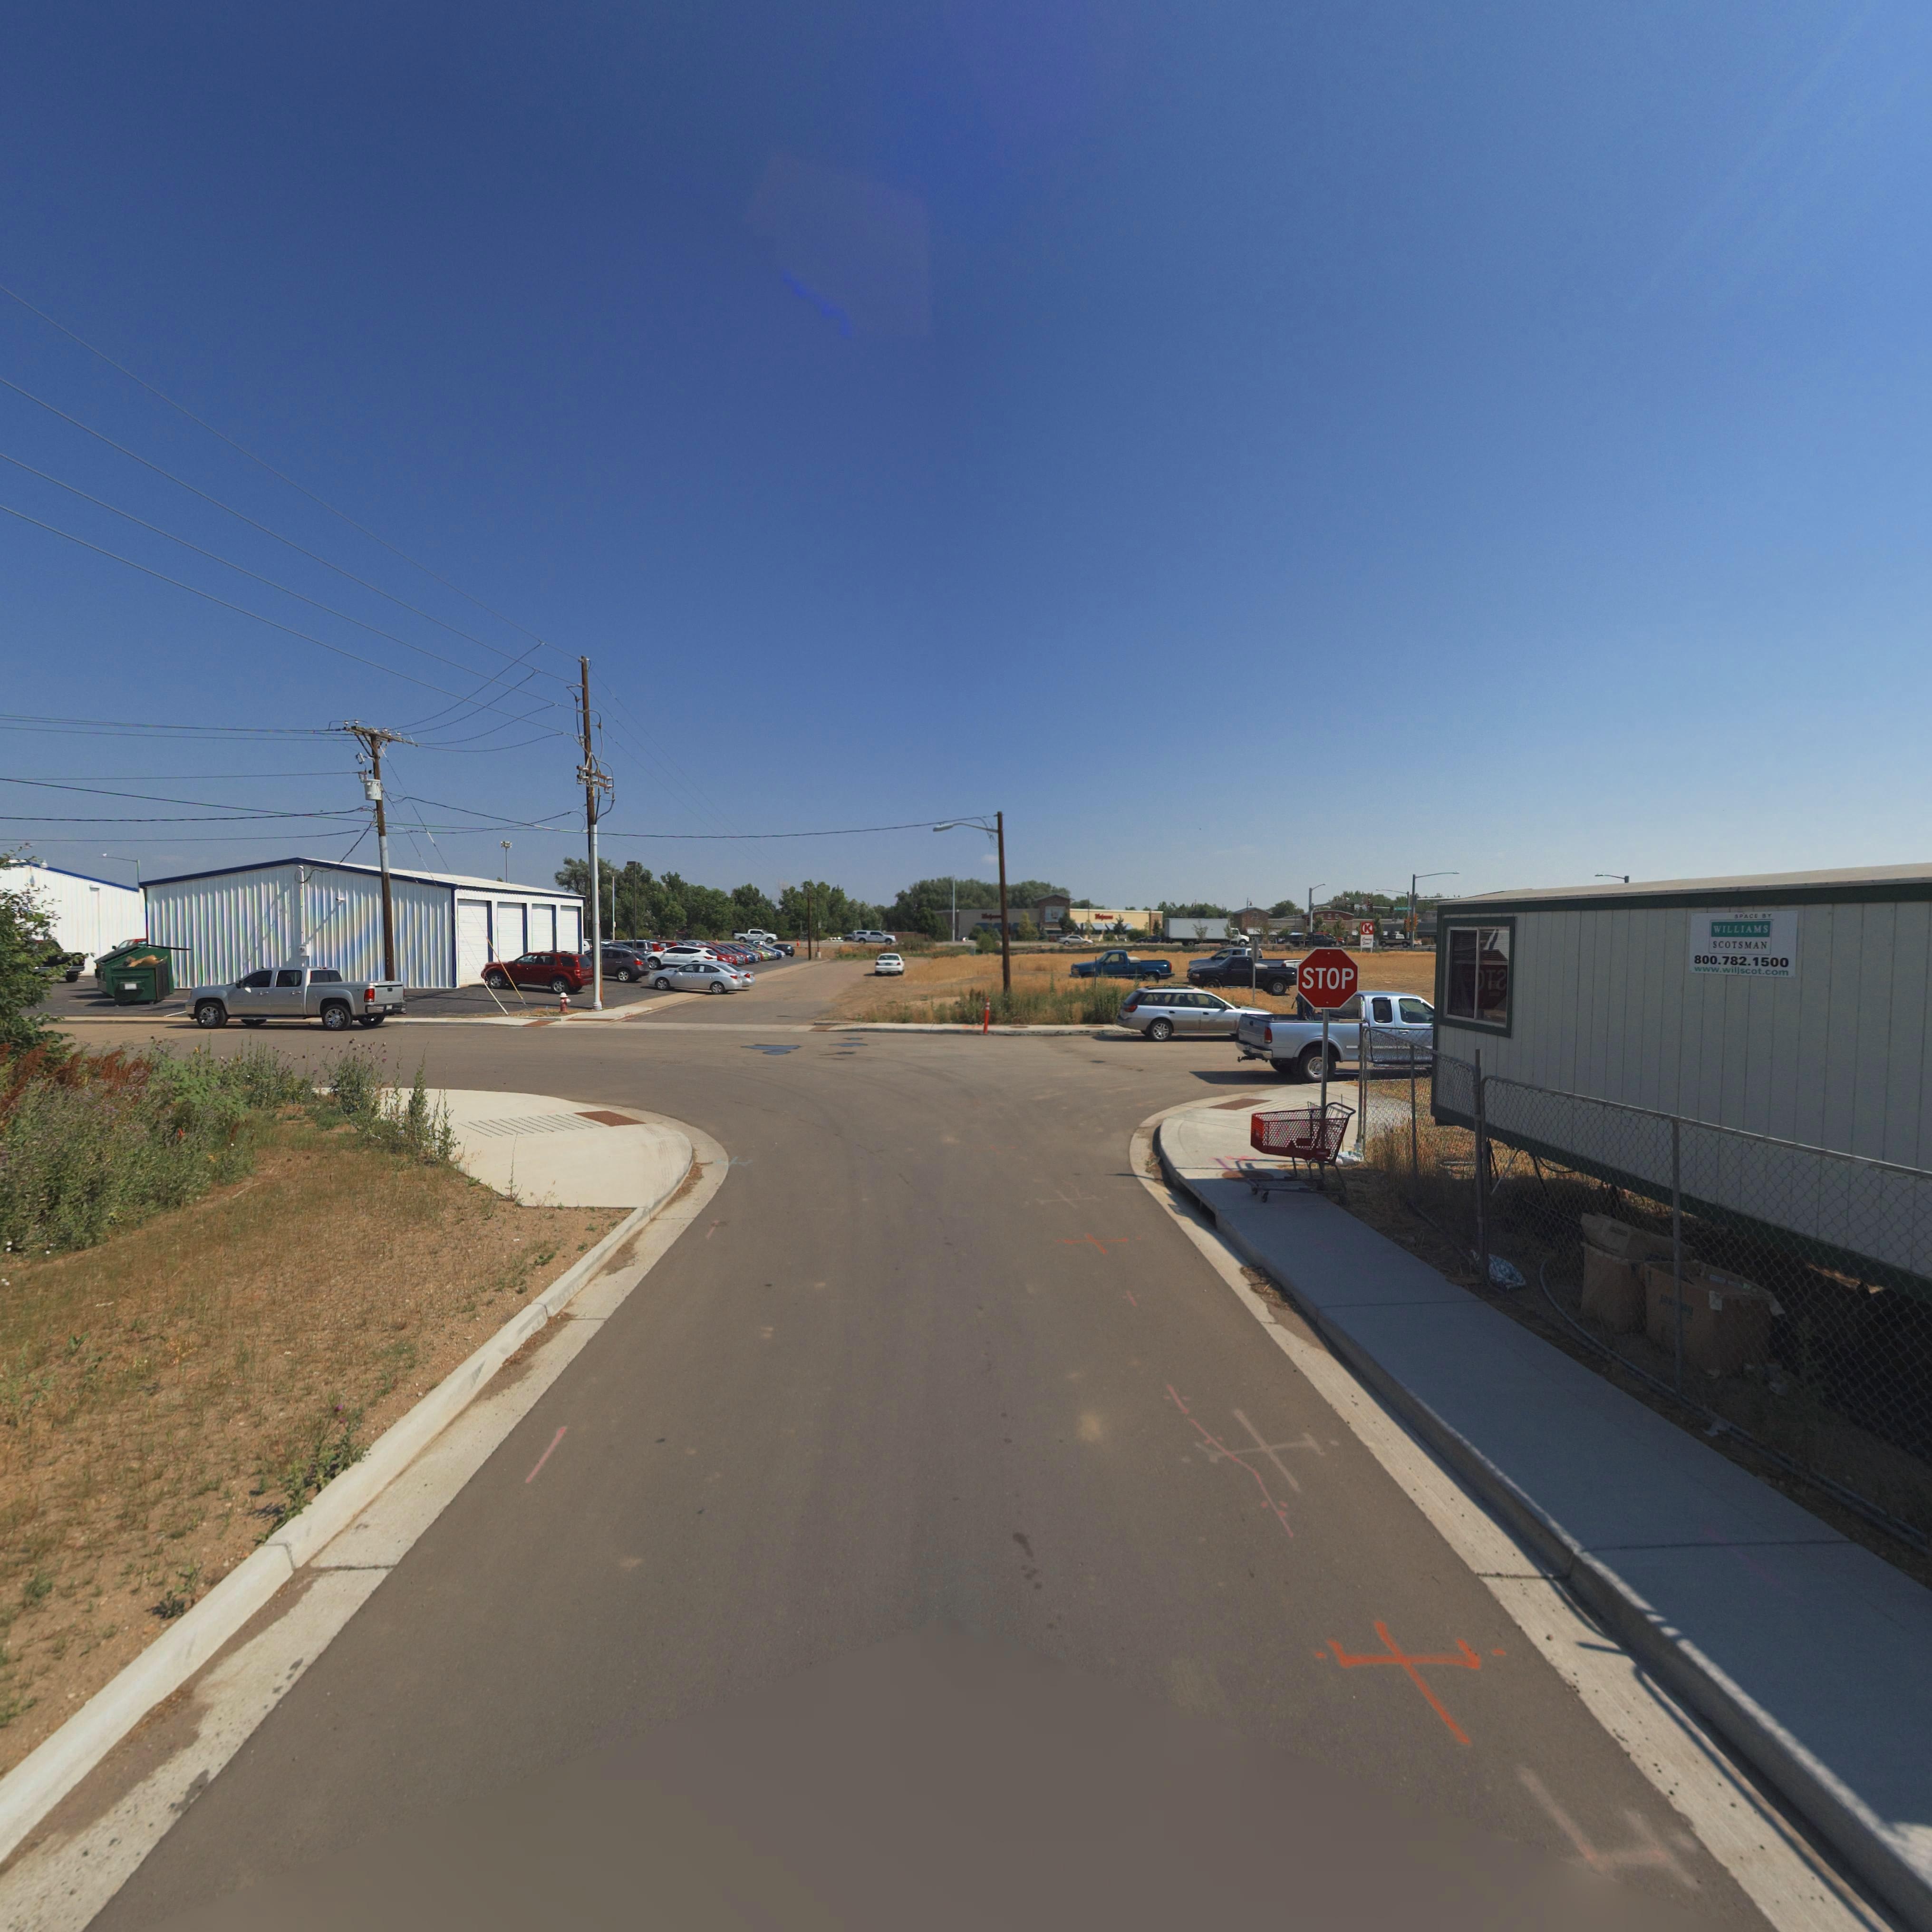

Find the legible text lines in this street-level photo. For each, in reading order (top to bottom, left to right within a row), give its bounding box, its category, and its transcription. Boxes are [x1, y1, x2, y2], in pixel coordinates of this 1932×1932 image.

[1364, 923, 1372, 933] BusinessName: K